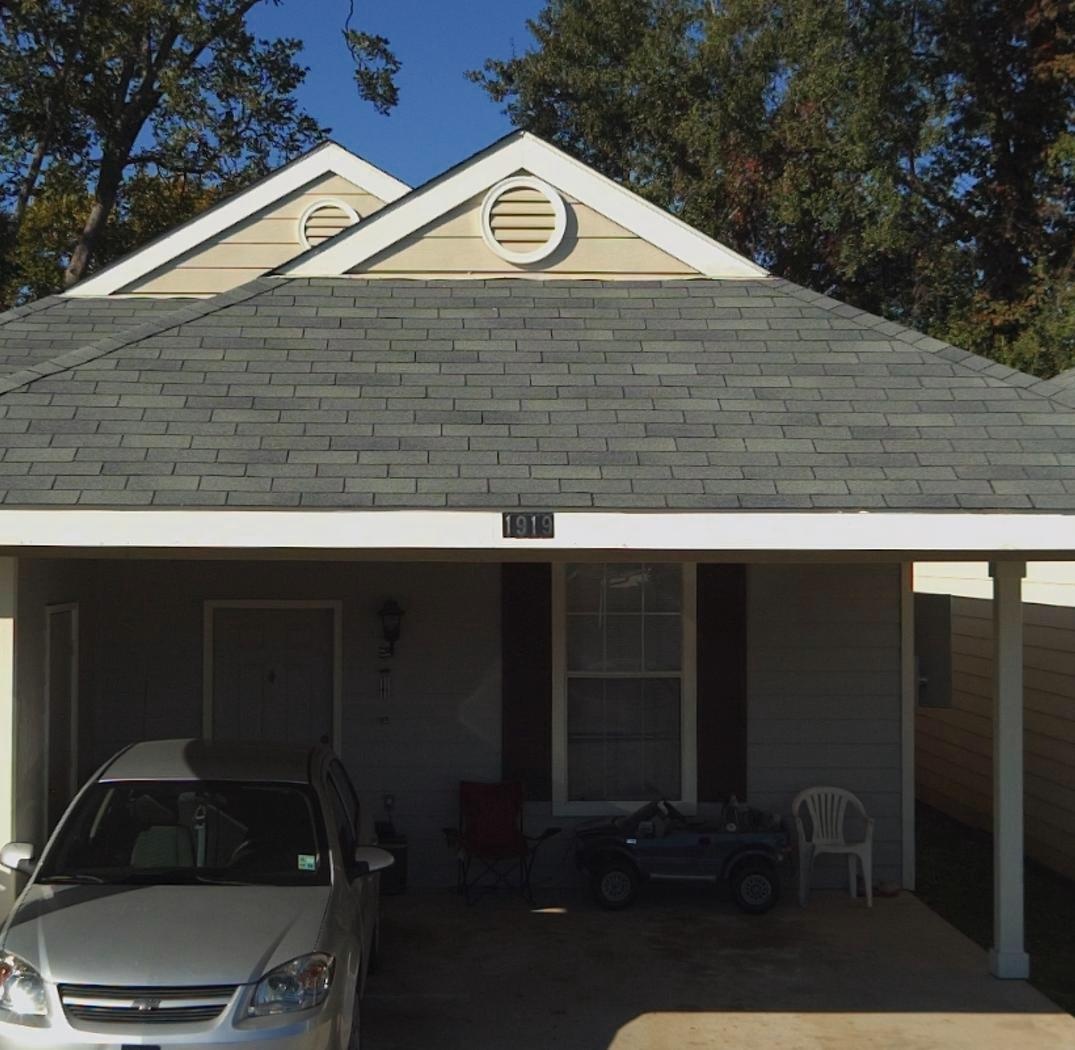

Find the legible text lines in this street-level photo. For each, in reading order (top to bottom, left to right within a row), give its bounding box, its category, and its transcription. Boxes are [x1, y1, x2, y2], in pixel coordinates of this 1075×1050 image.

[504, 513, 554, 537] StreetNumber: 1919